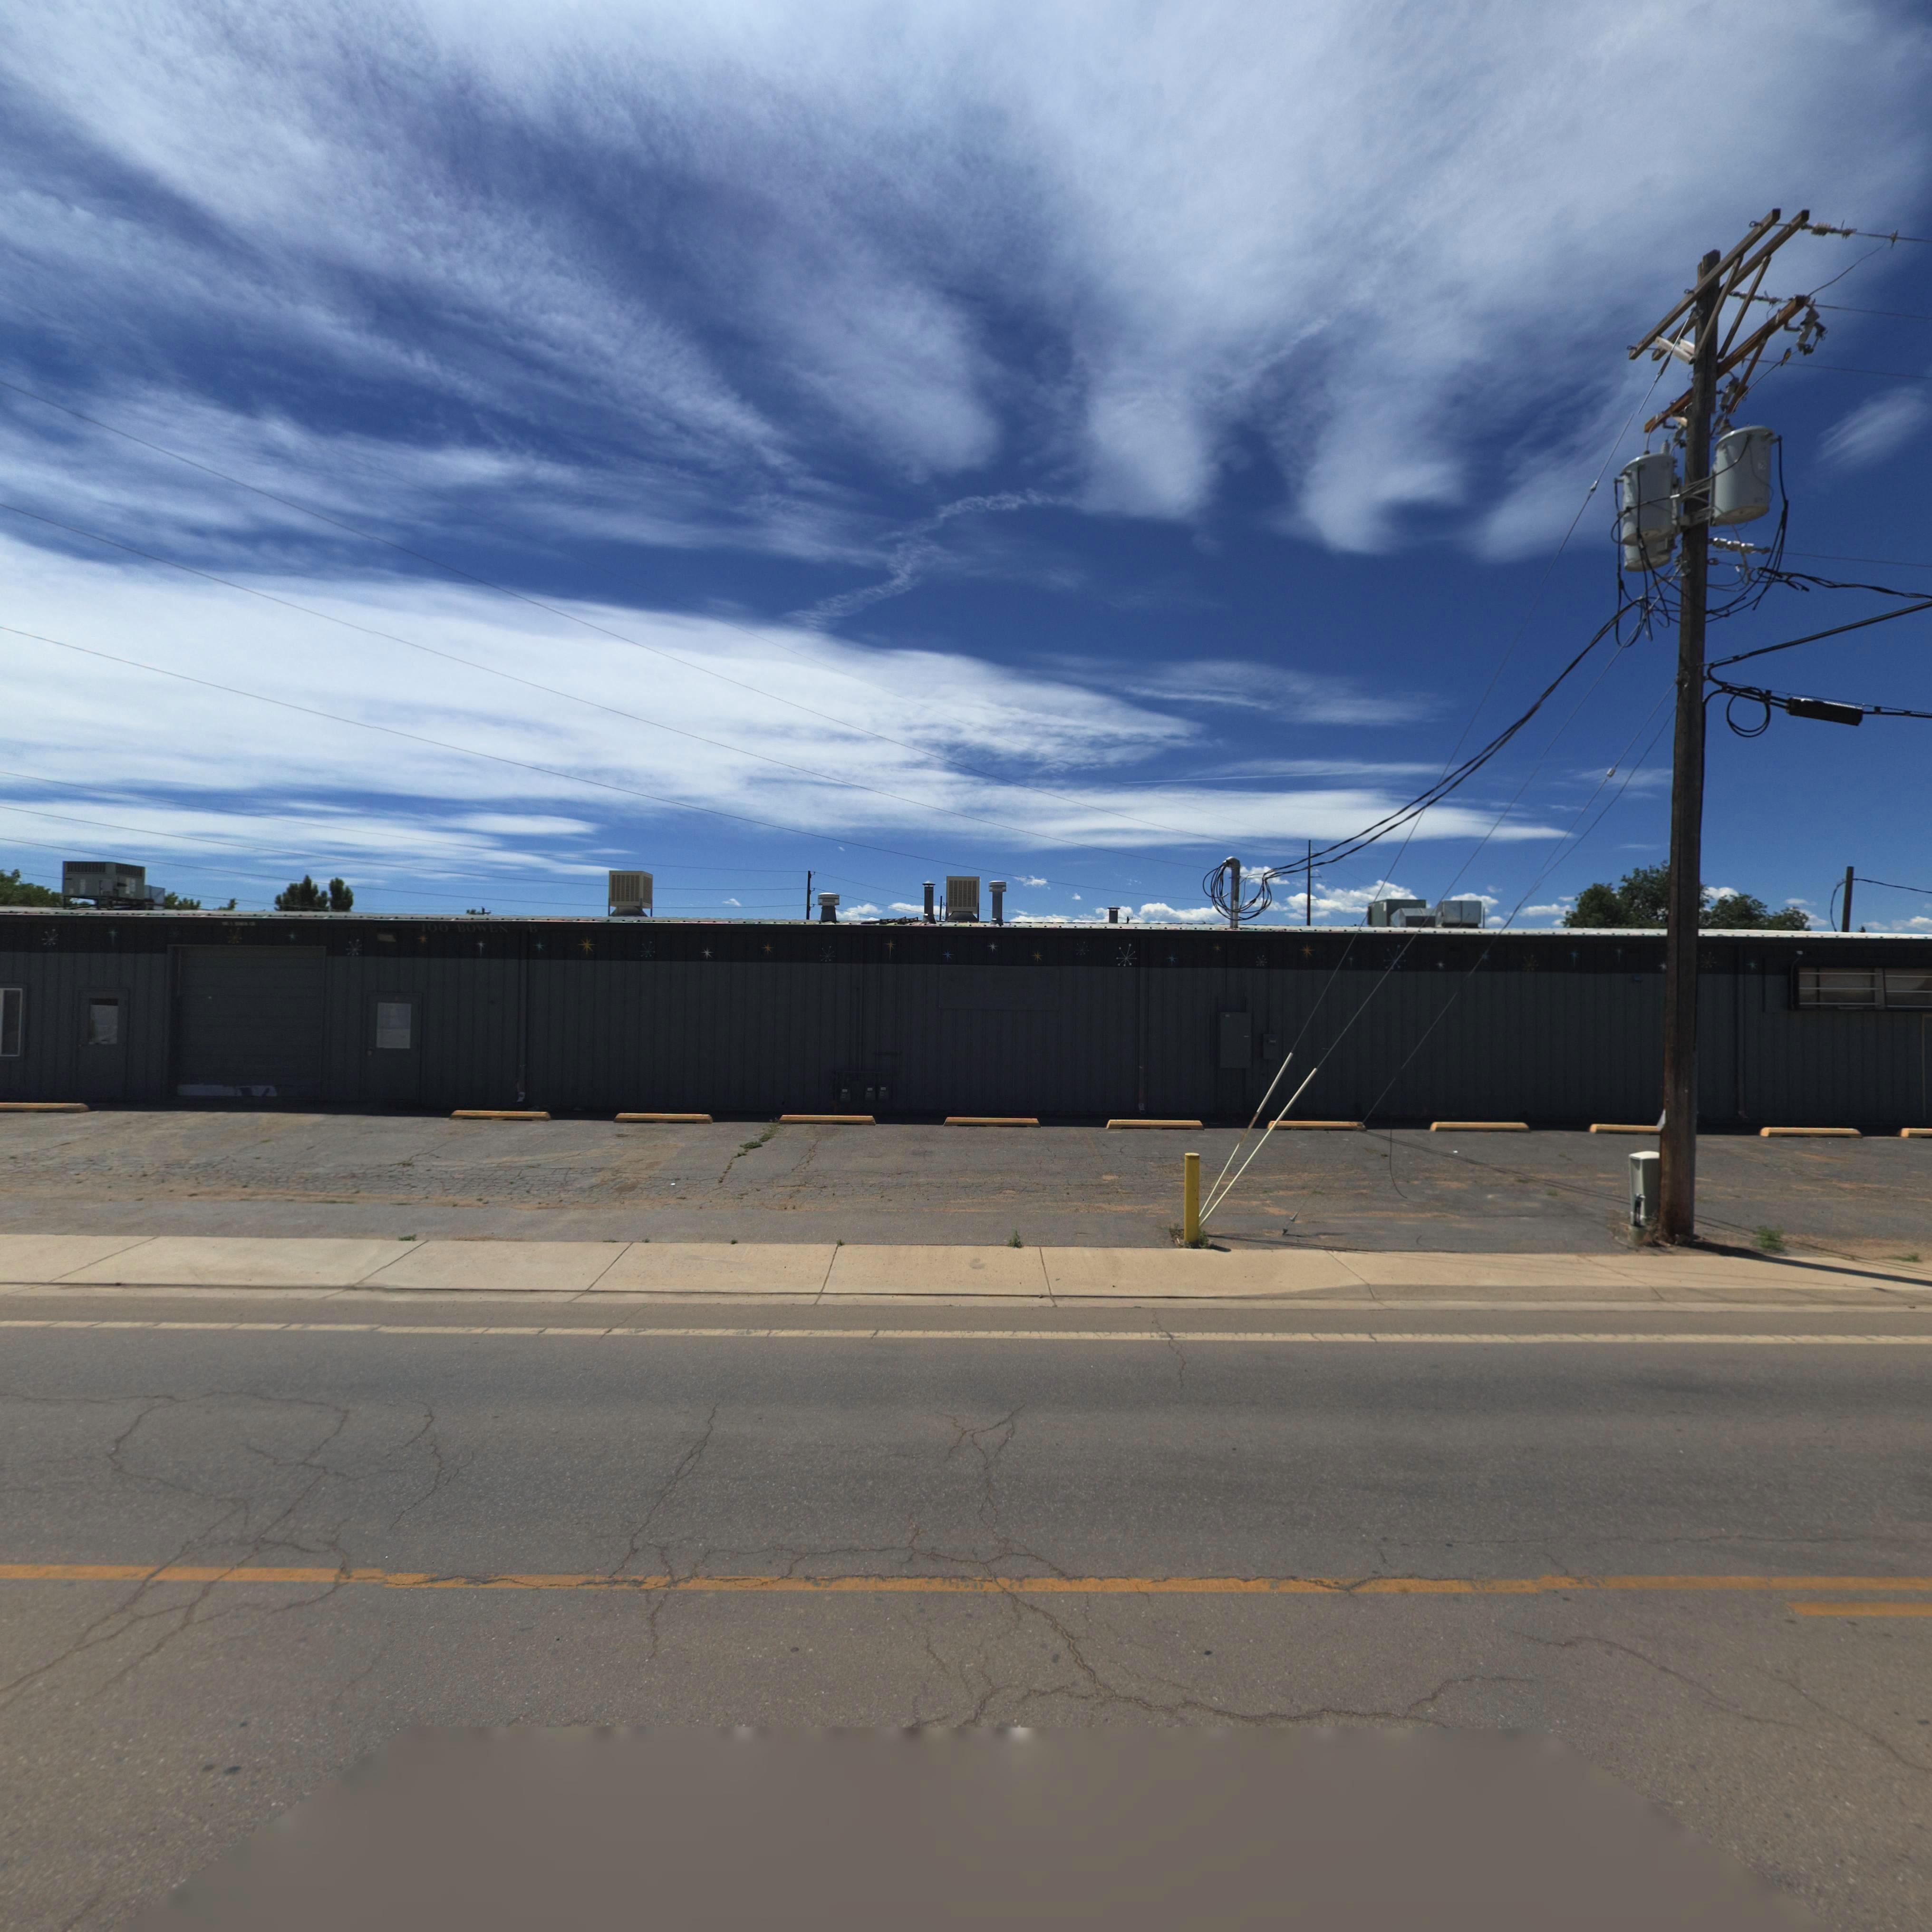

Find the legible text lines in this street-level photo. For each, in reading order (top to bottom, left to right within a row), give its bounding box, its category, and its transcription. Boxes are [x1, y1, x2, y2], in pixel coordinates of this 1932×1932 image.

[420, 921, 449, 933] StreetNumber: 100
[455, 923, 509, 934] StreetName: BOWEN
[527, 922, 538, 934] StreetNumber: B